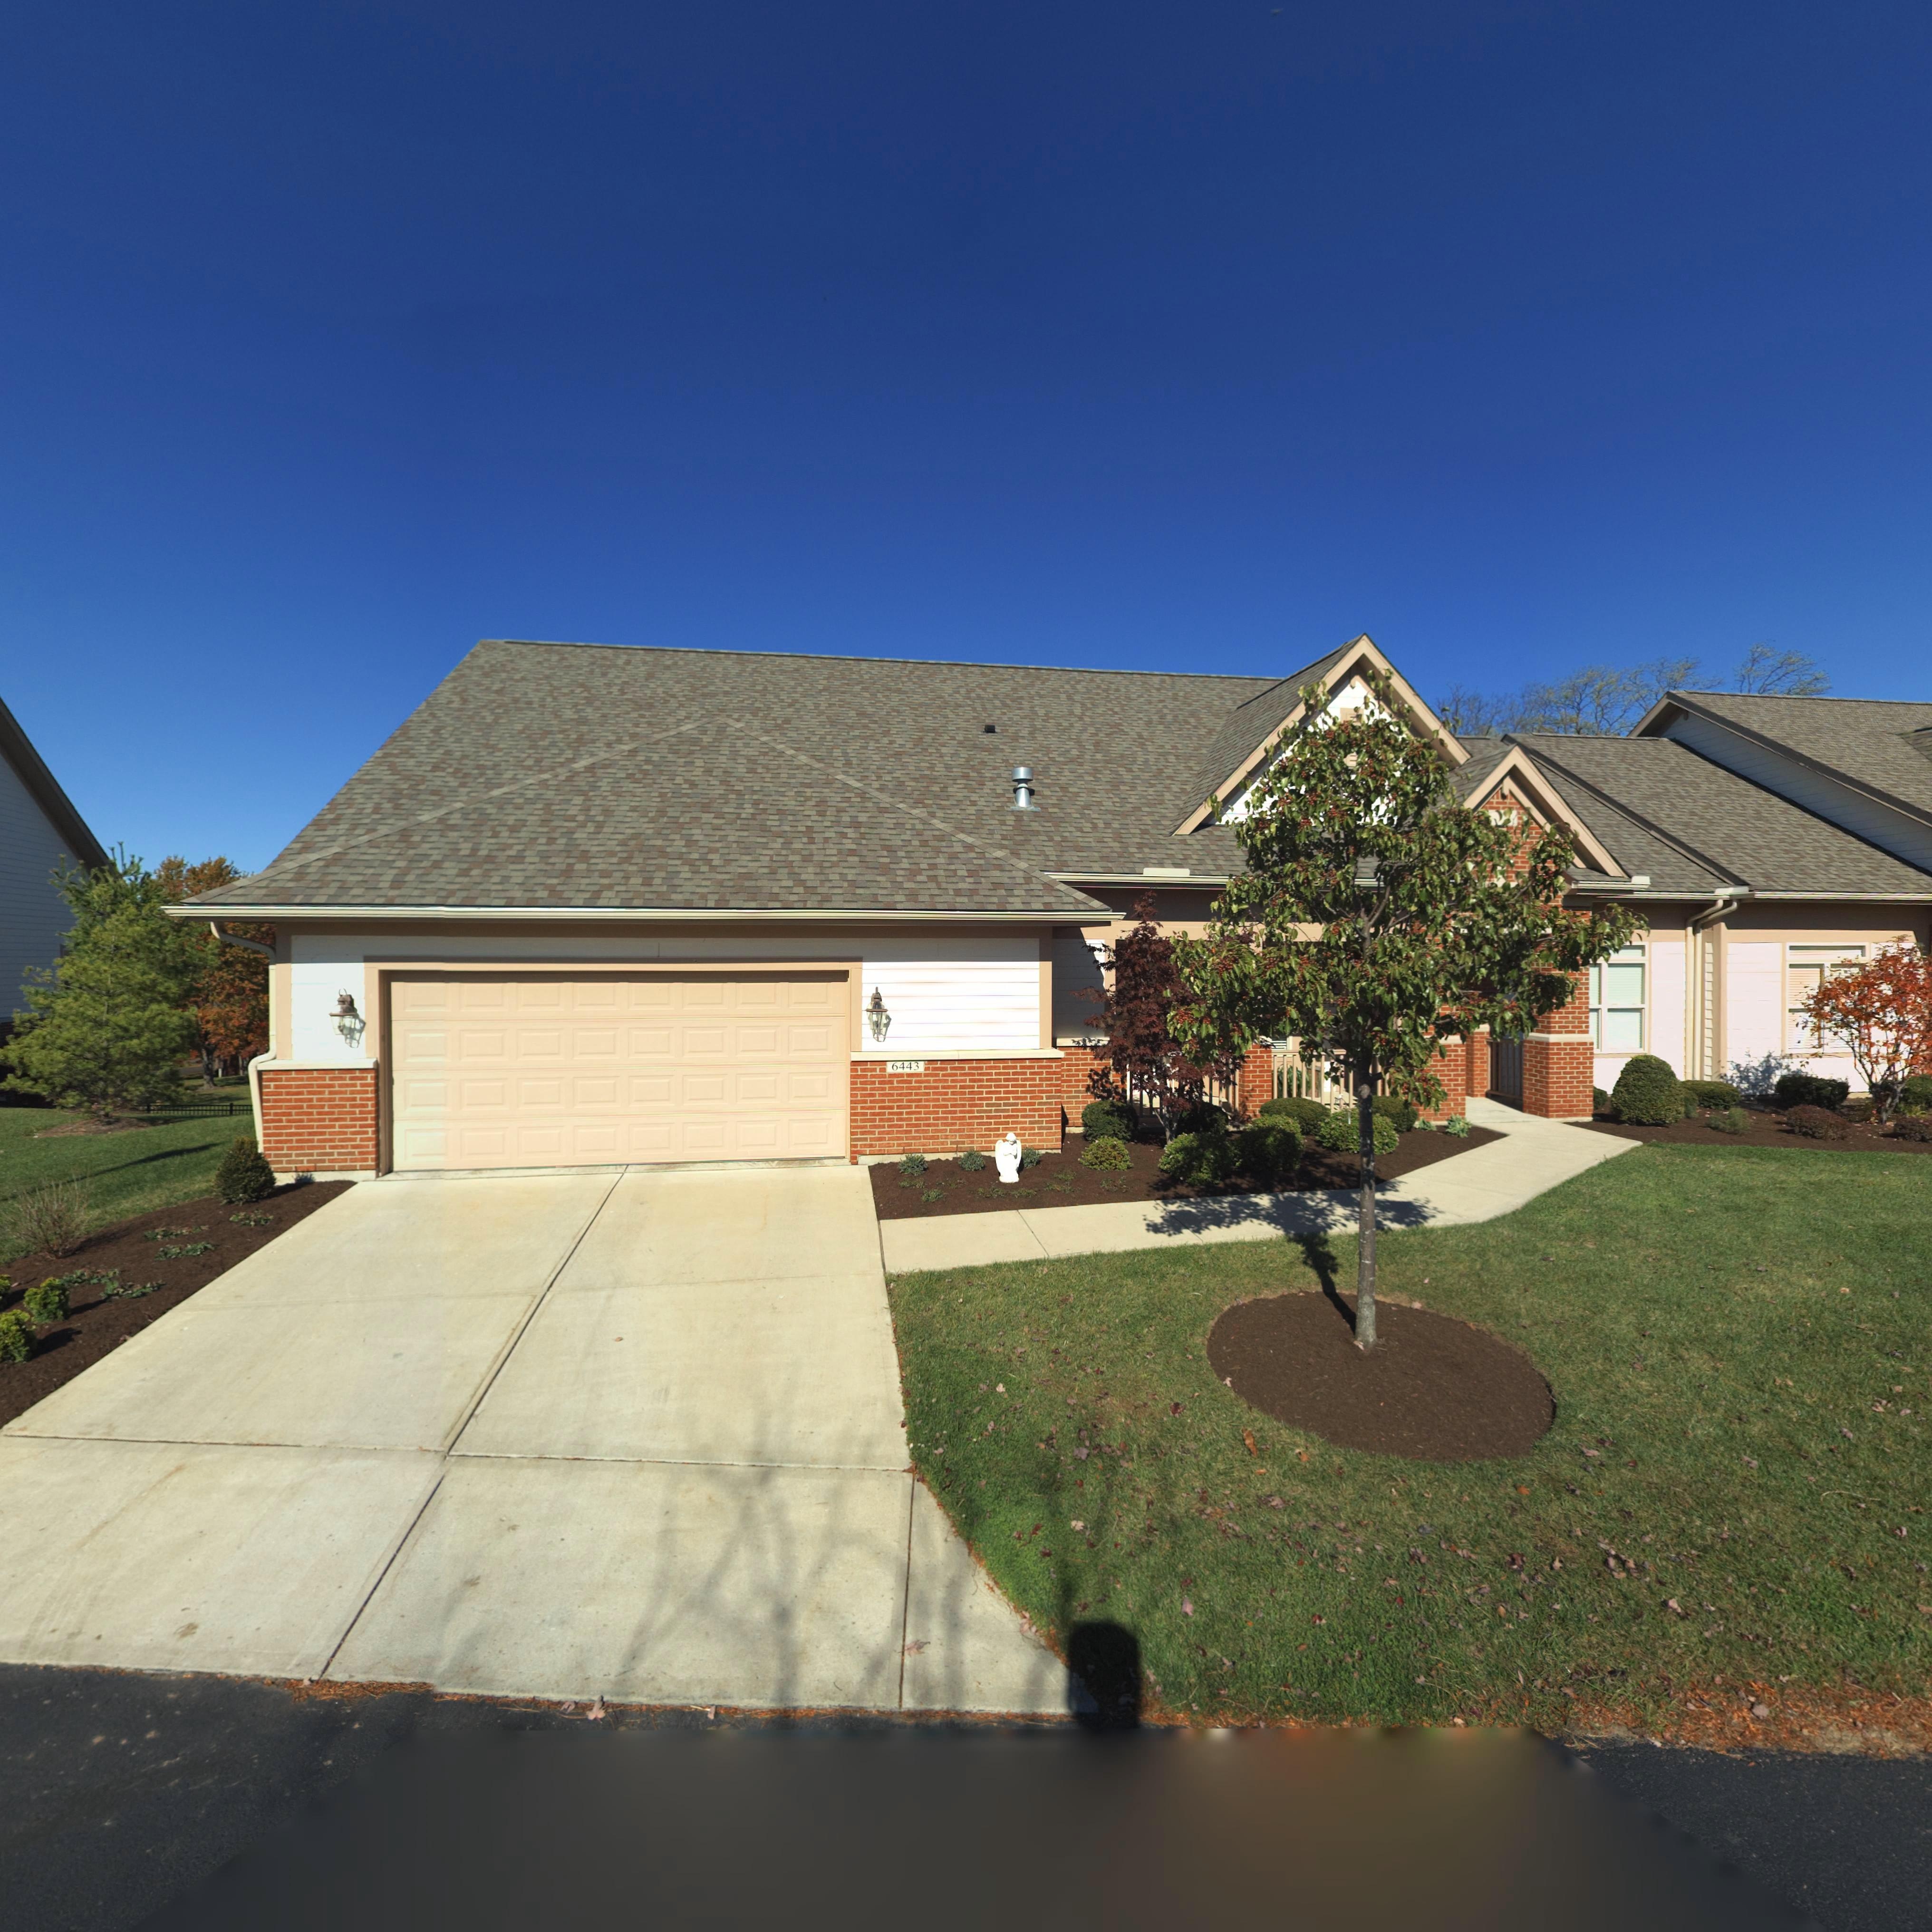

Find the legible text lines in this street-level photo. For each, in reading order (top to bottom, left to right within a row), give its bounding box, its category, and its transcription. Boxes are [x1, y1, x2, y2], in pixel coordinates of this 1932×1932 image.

[891, 1061, 919, 1071] StreetNumber: 6443